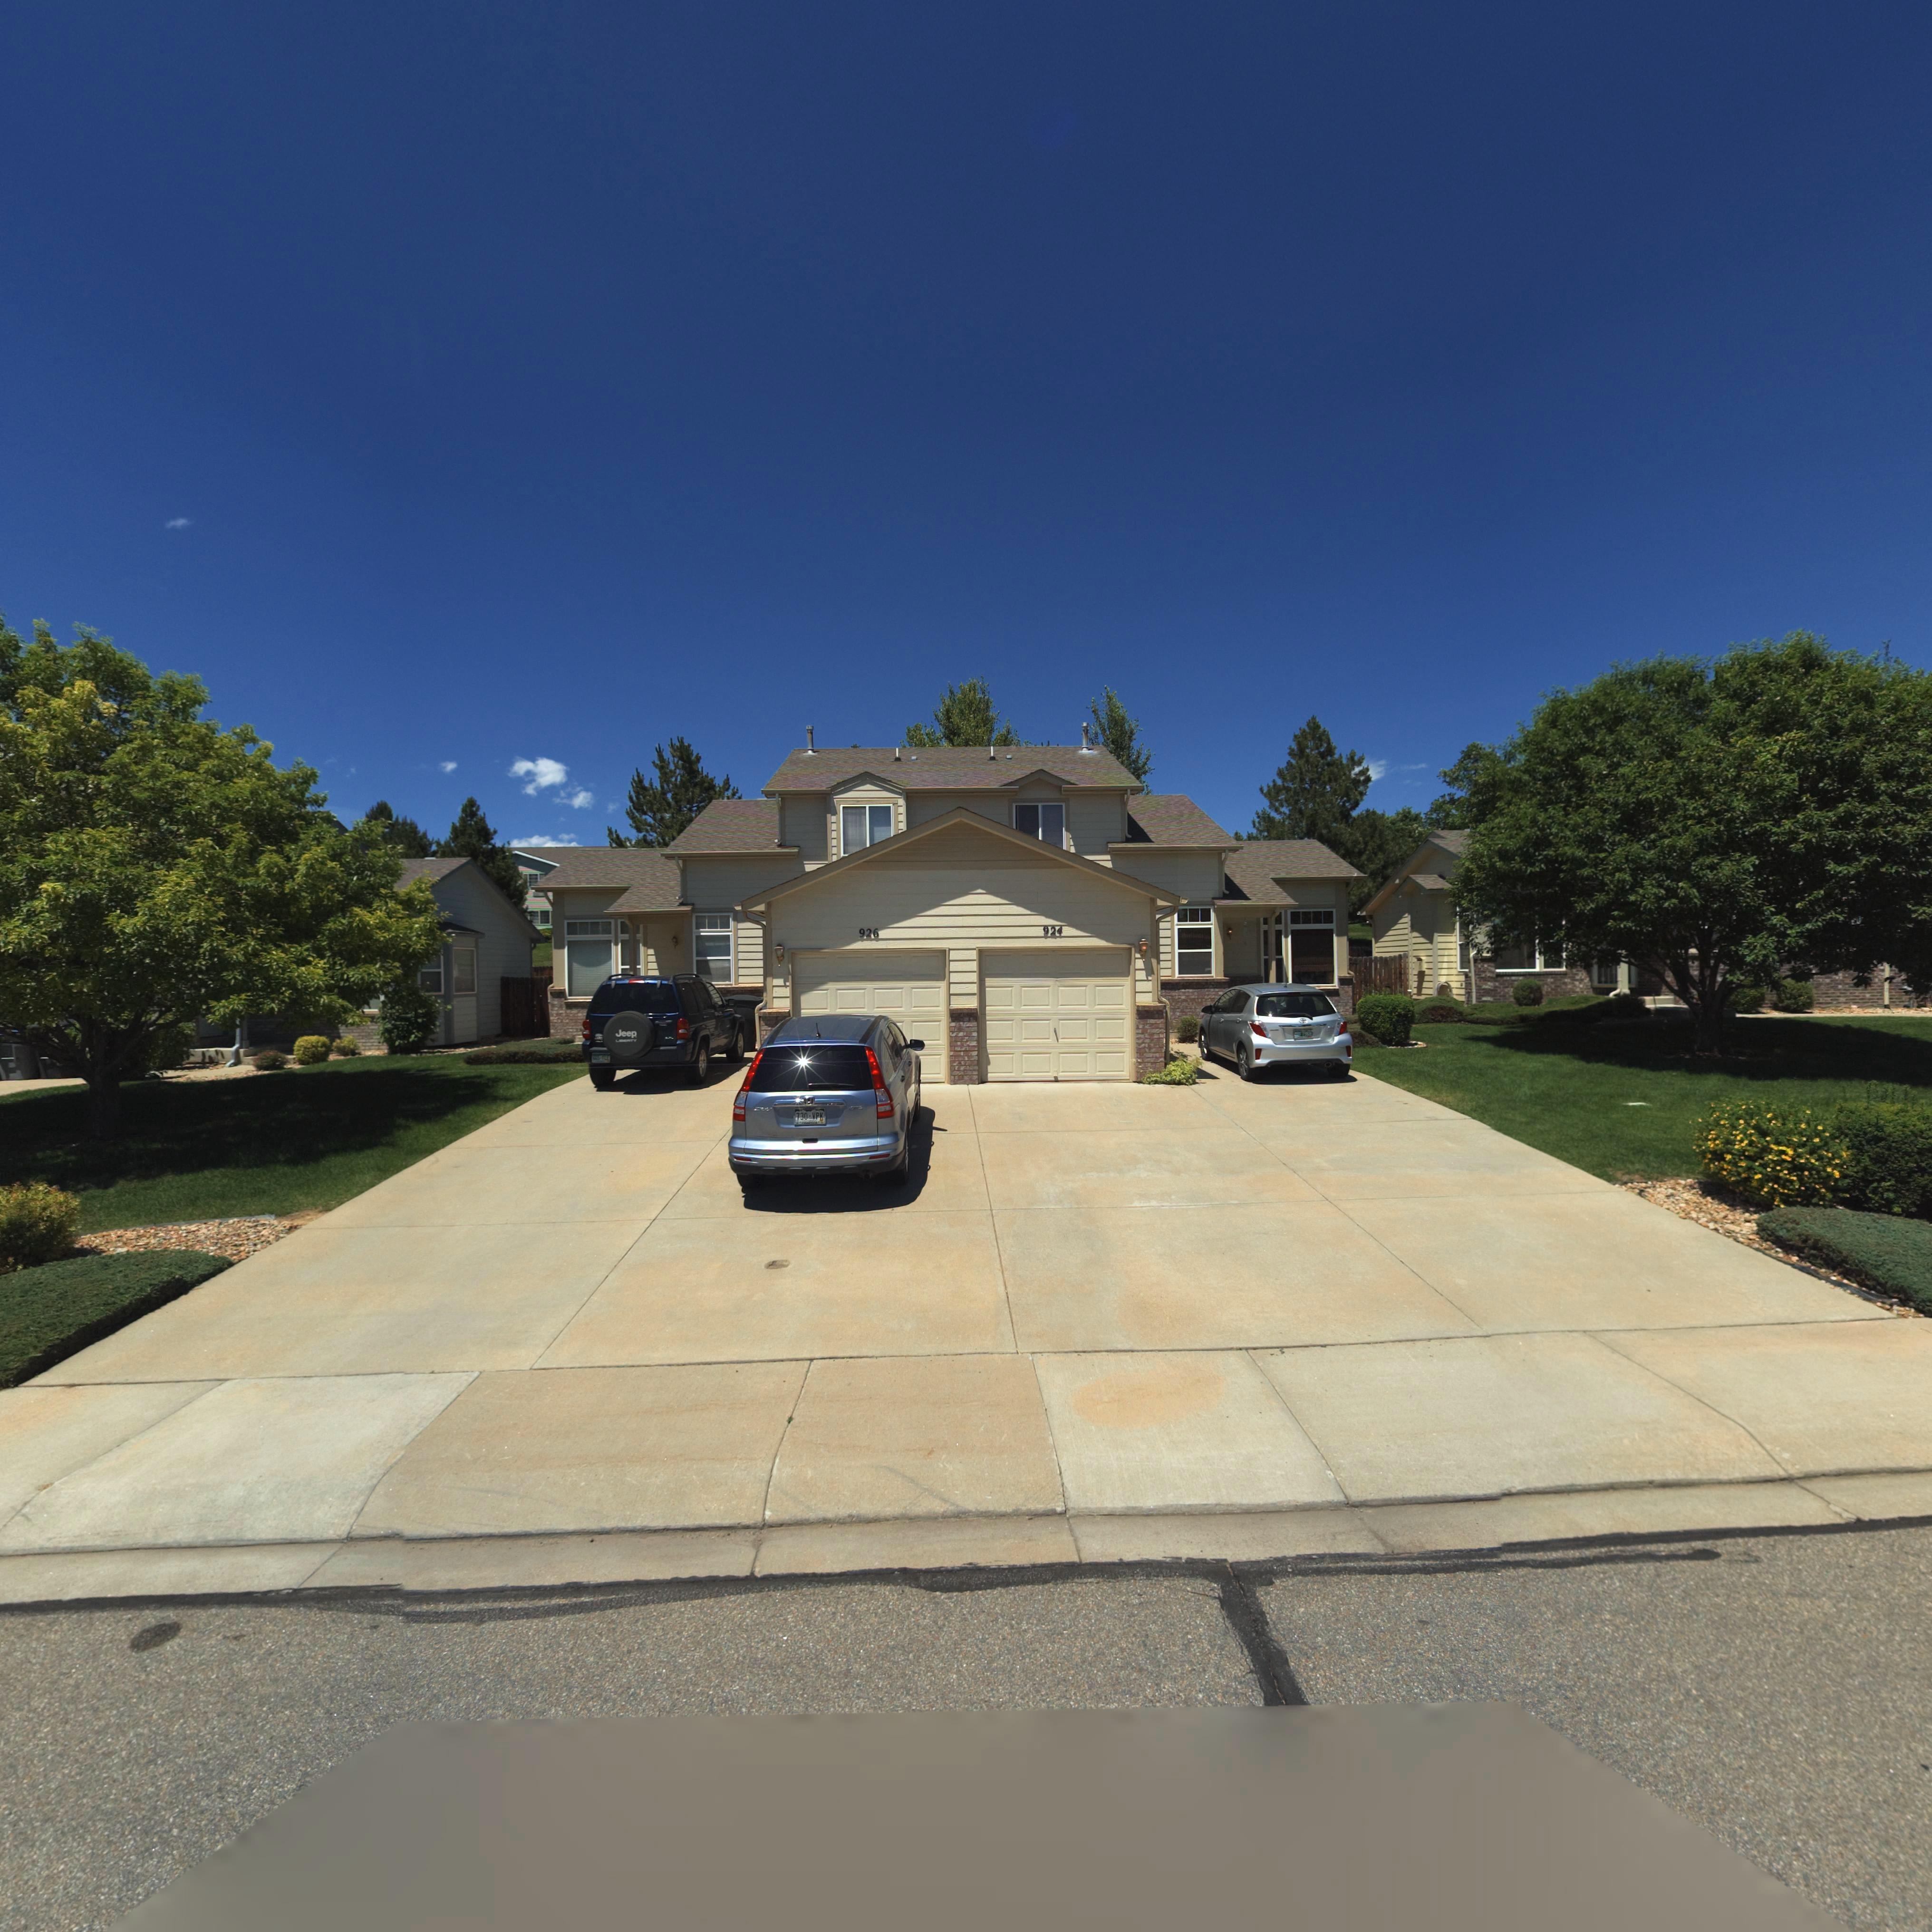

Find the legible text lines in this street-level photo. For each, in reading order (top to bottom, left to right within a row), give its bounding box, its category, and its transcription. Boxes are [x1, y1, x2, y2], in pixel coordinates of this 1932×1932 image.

[859, 927, 879, 937] StreetNumber: 926
[1042, 925, 1063, 935] StreetNumber: 924